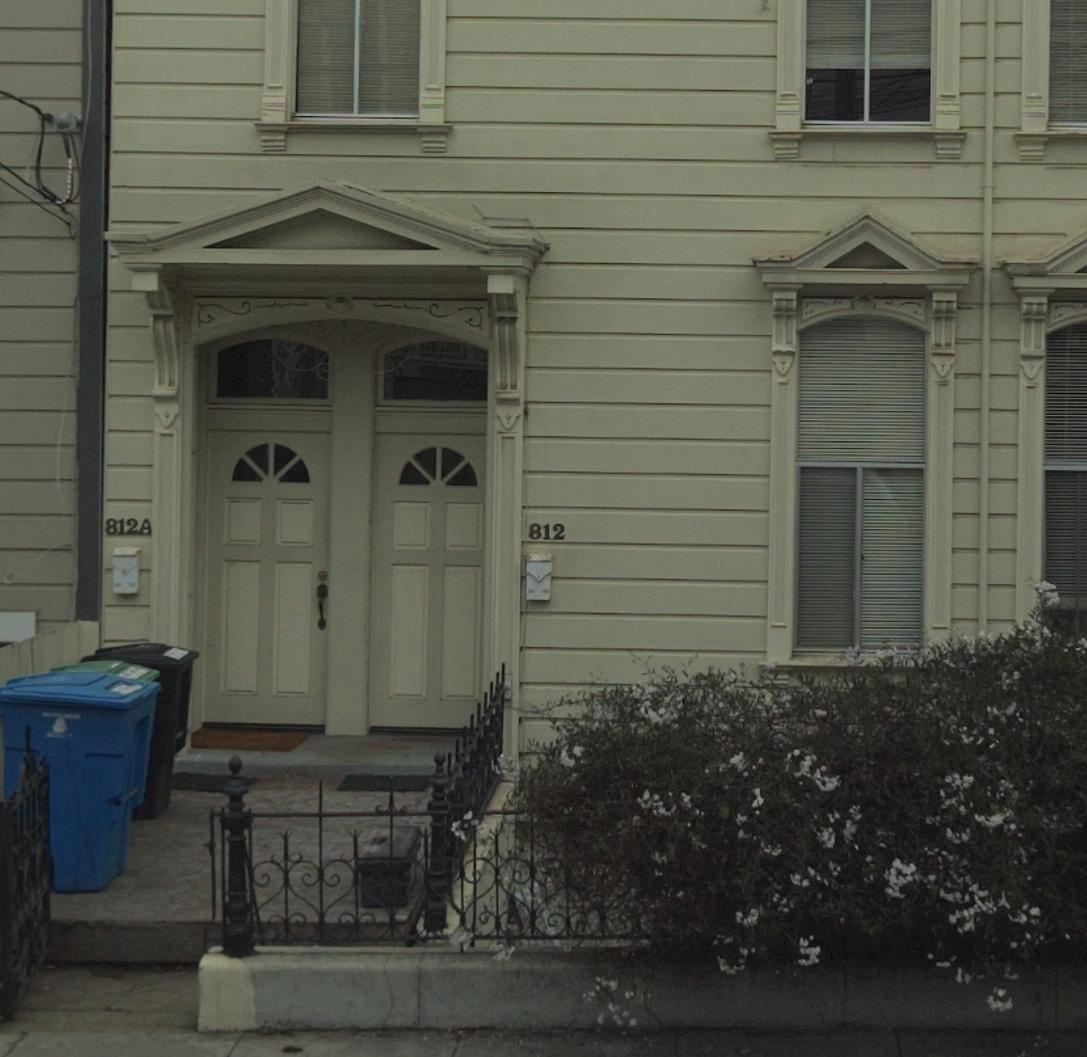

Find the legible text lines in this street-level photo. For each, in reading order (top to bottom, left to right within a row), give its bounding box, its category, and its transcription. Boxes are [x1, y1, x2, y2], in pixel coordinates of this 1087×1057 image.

[104, 516, 153, 535] StreetNumber: 812A
[527, 522, 567, 541] StreetNumber: 812